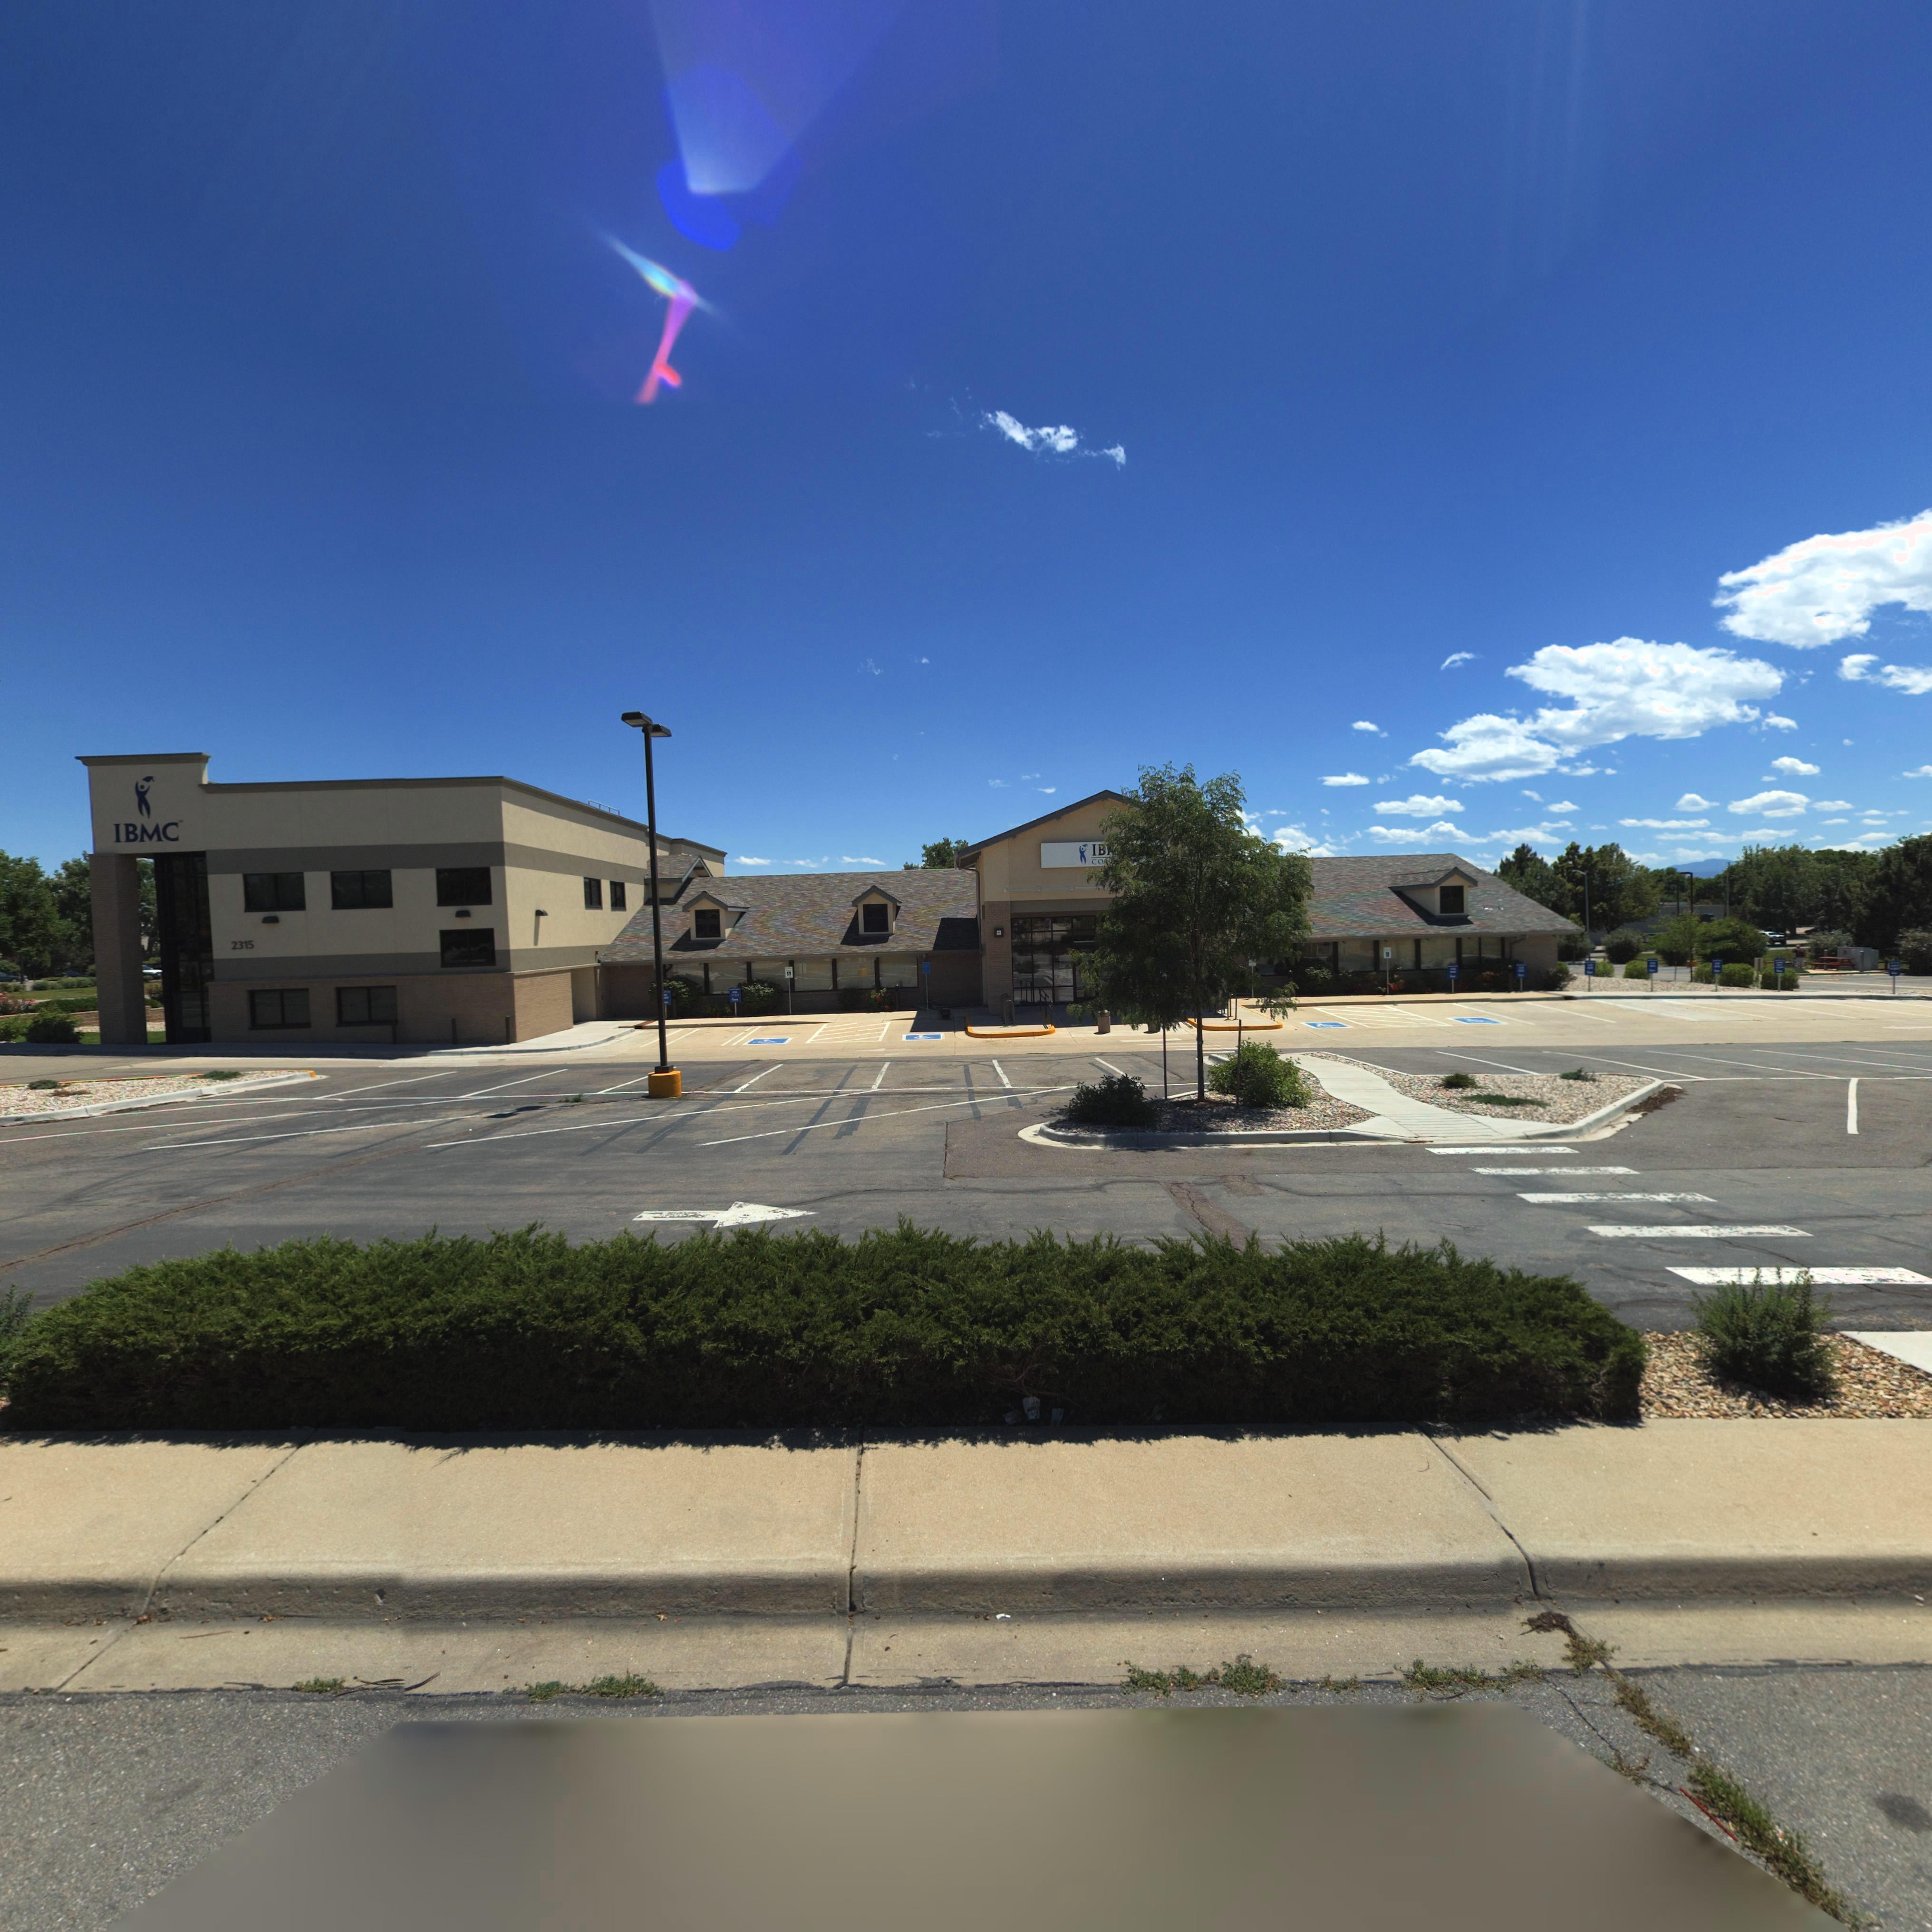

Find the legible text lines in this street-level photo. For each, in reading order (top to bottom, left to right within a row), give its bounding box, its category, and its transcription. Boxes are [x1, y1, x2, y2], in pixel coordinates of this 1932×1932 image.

[112, 821, 180, 843] BusinessName: IBMC
[1092, 843, 1106, 856] BusinessName: IB
[1091, 858, 1104, 865] BusinessName: CO
[231, 940, 254, 949] StreetNumber: 2315